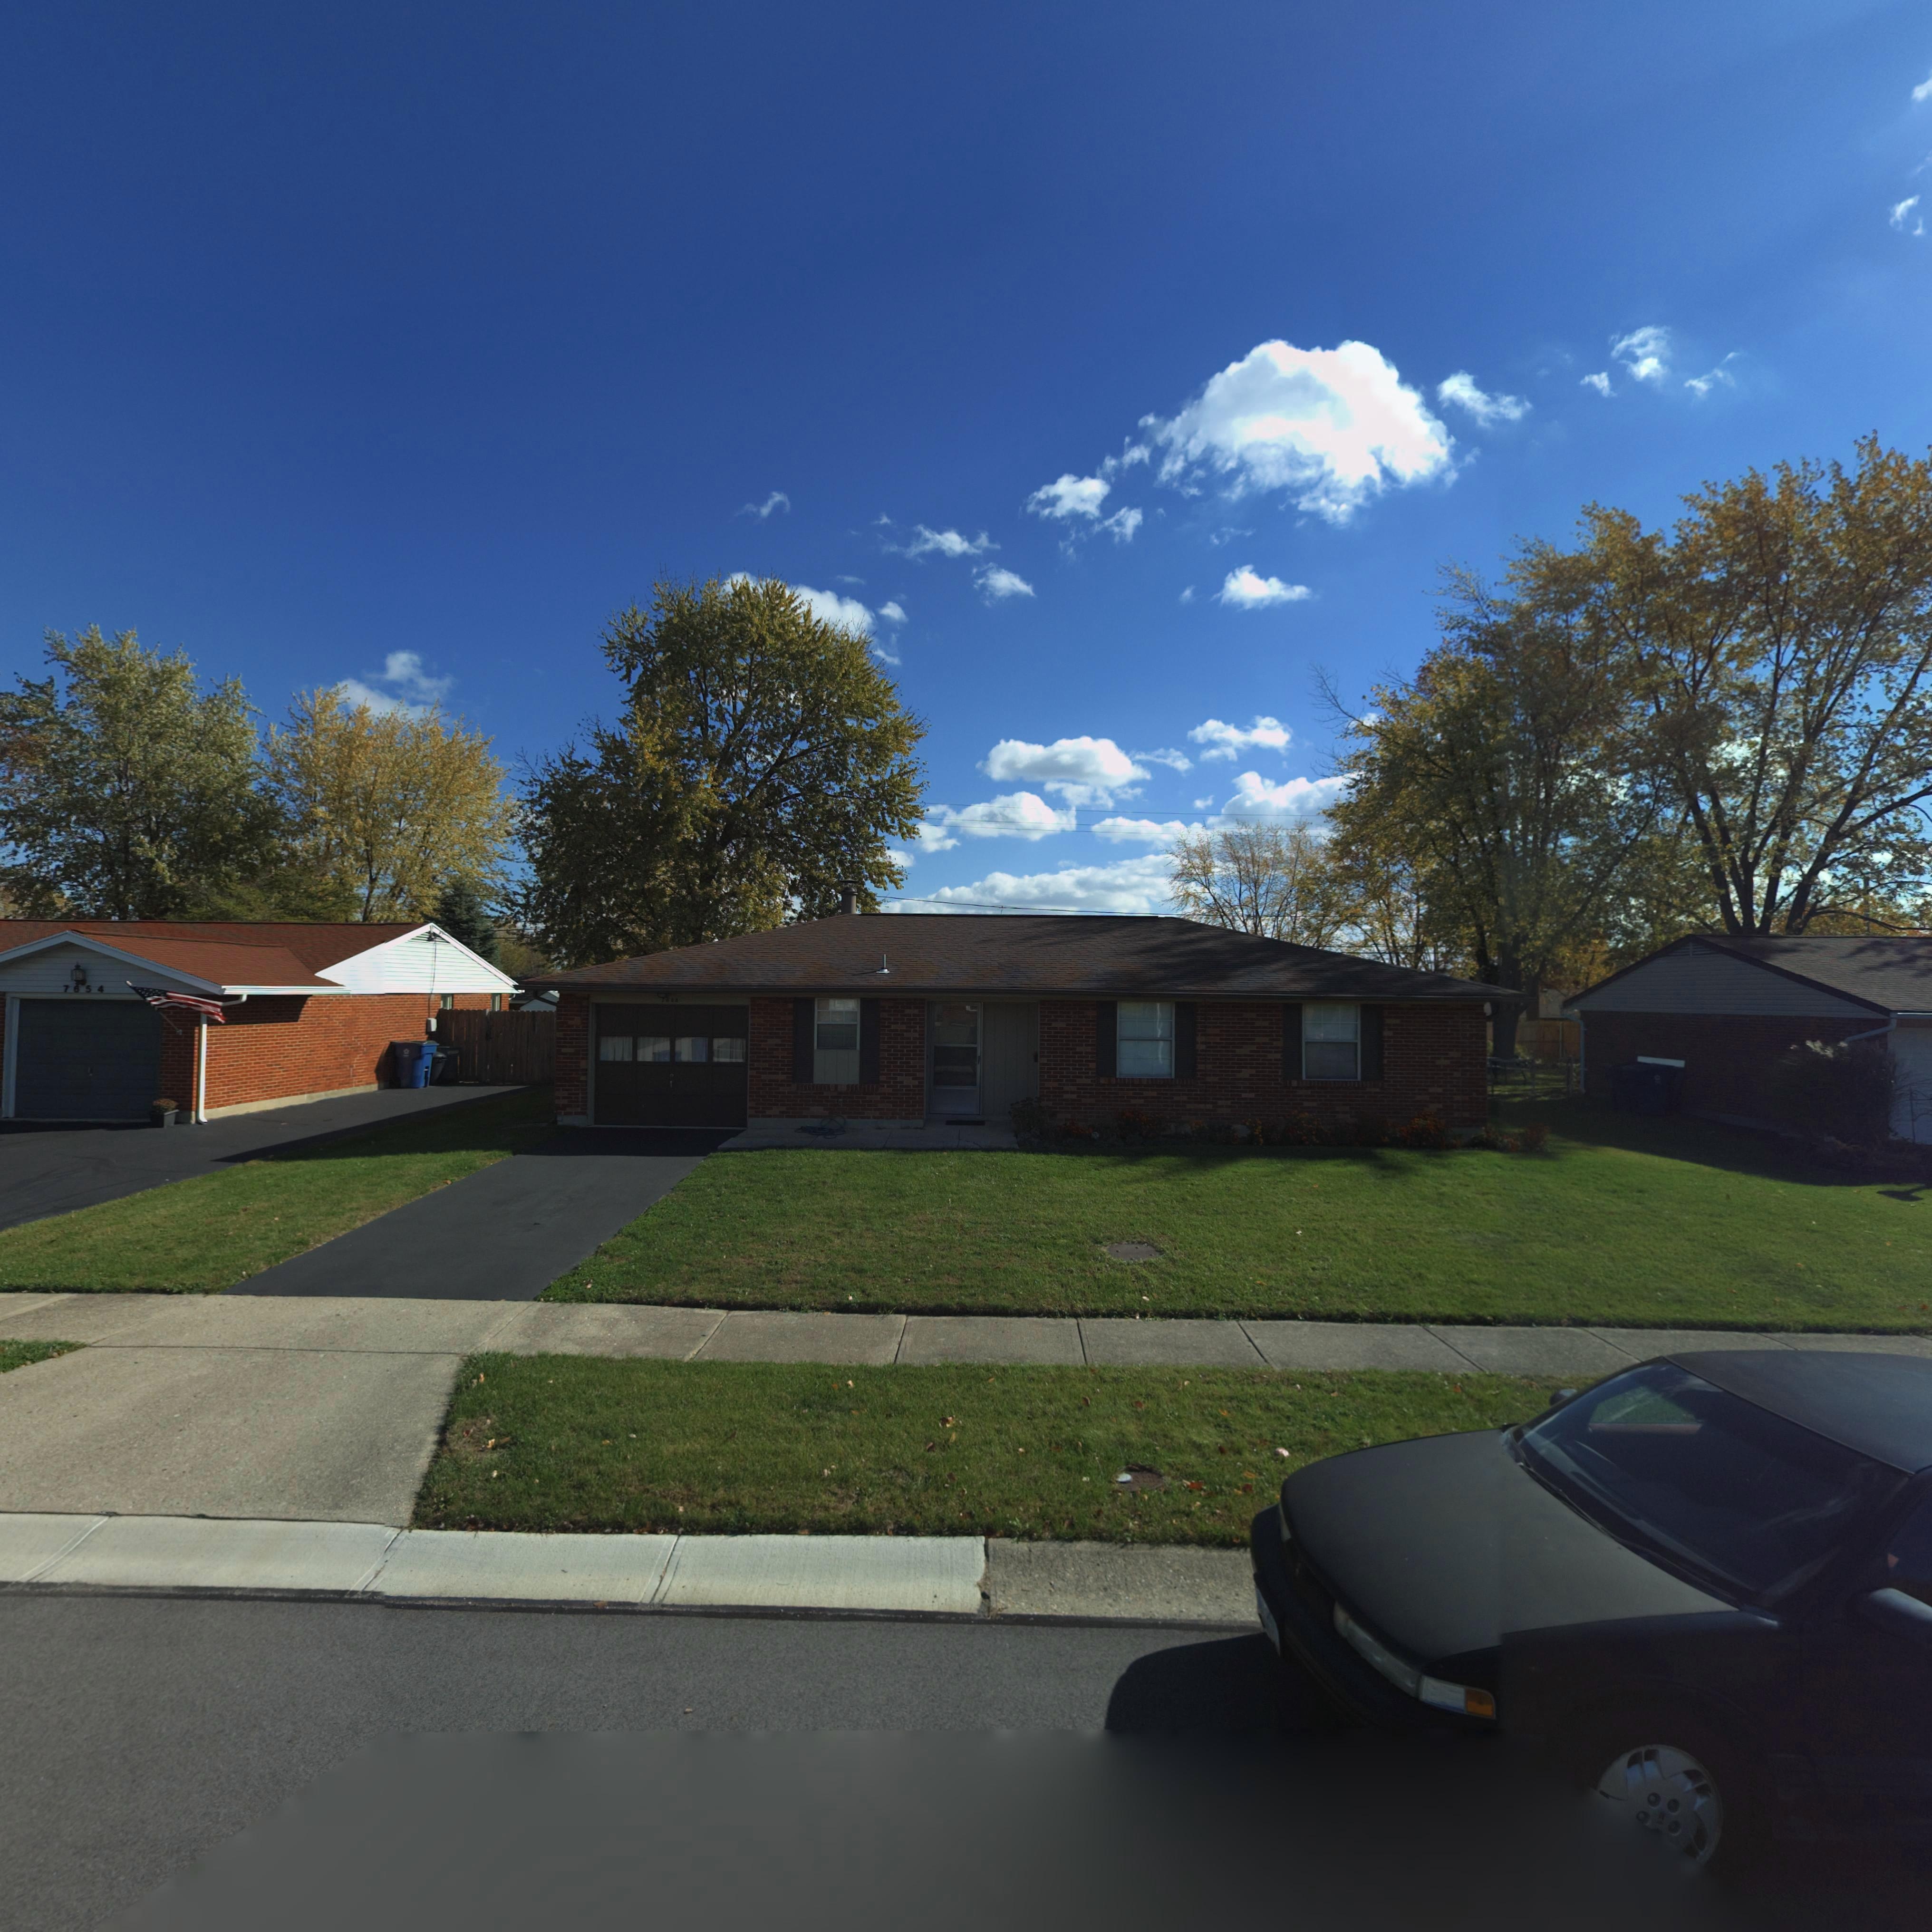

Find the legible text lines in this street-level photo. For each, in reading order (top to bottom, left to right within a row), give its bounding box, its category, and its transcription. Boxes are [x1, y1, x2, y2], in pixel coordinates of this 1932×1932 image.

[62, 984, 105, 995] StreetNumber: 7654